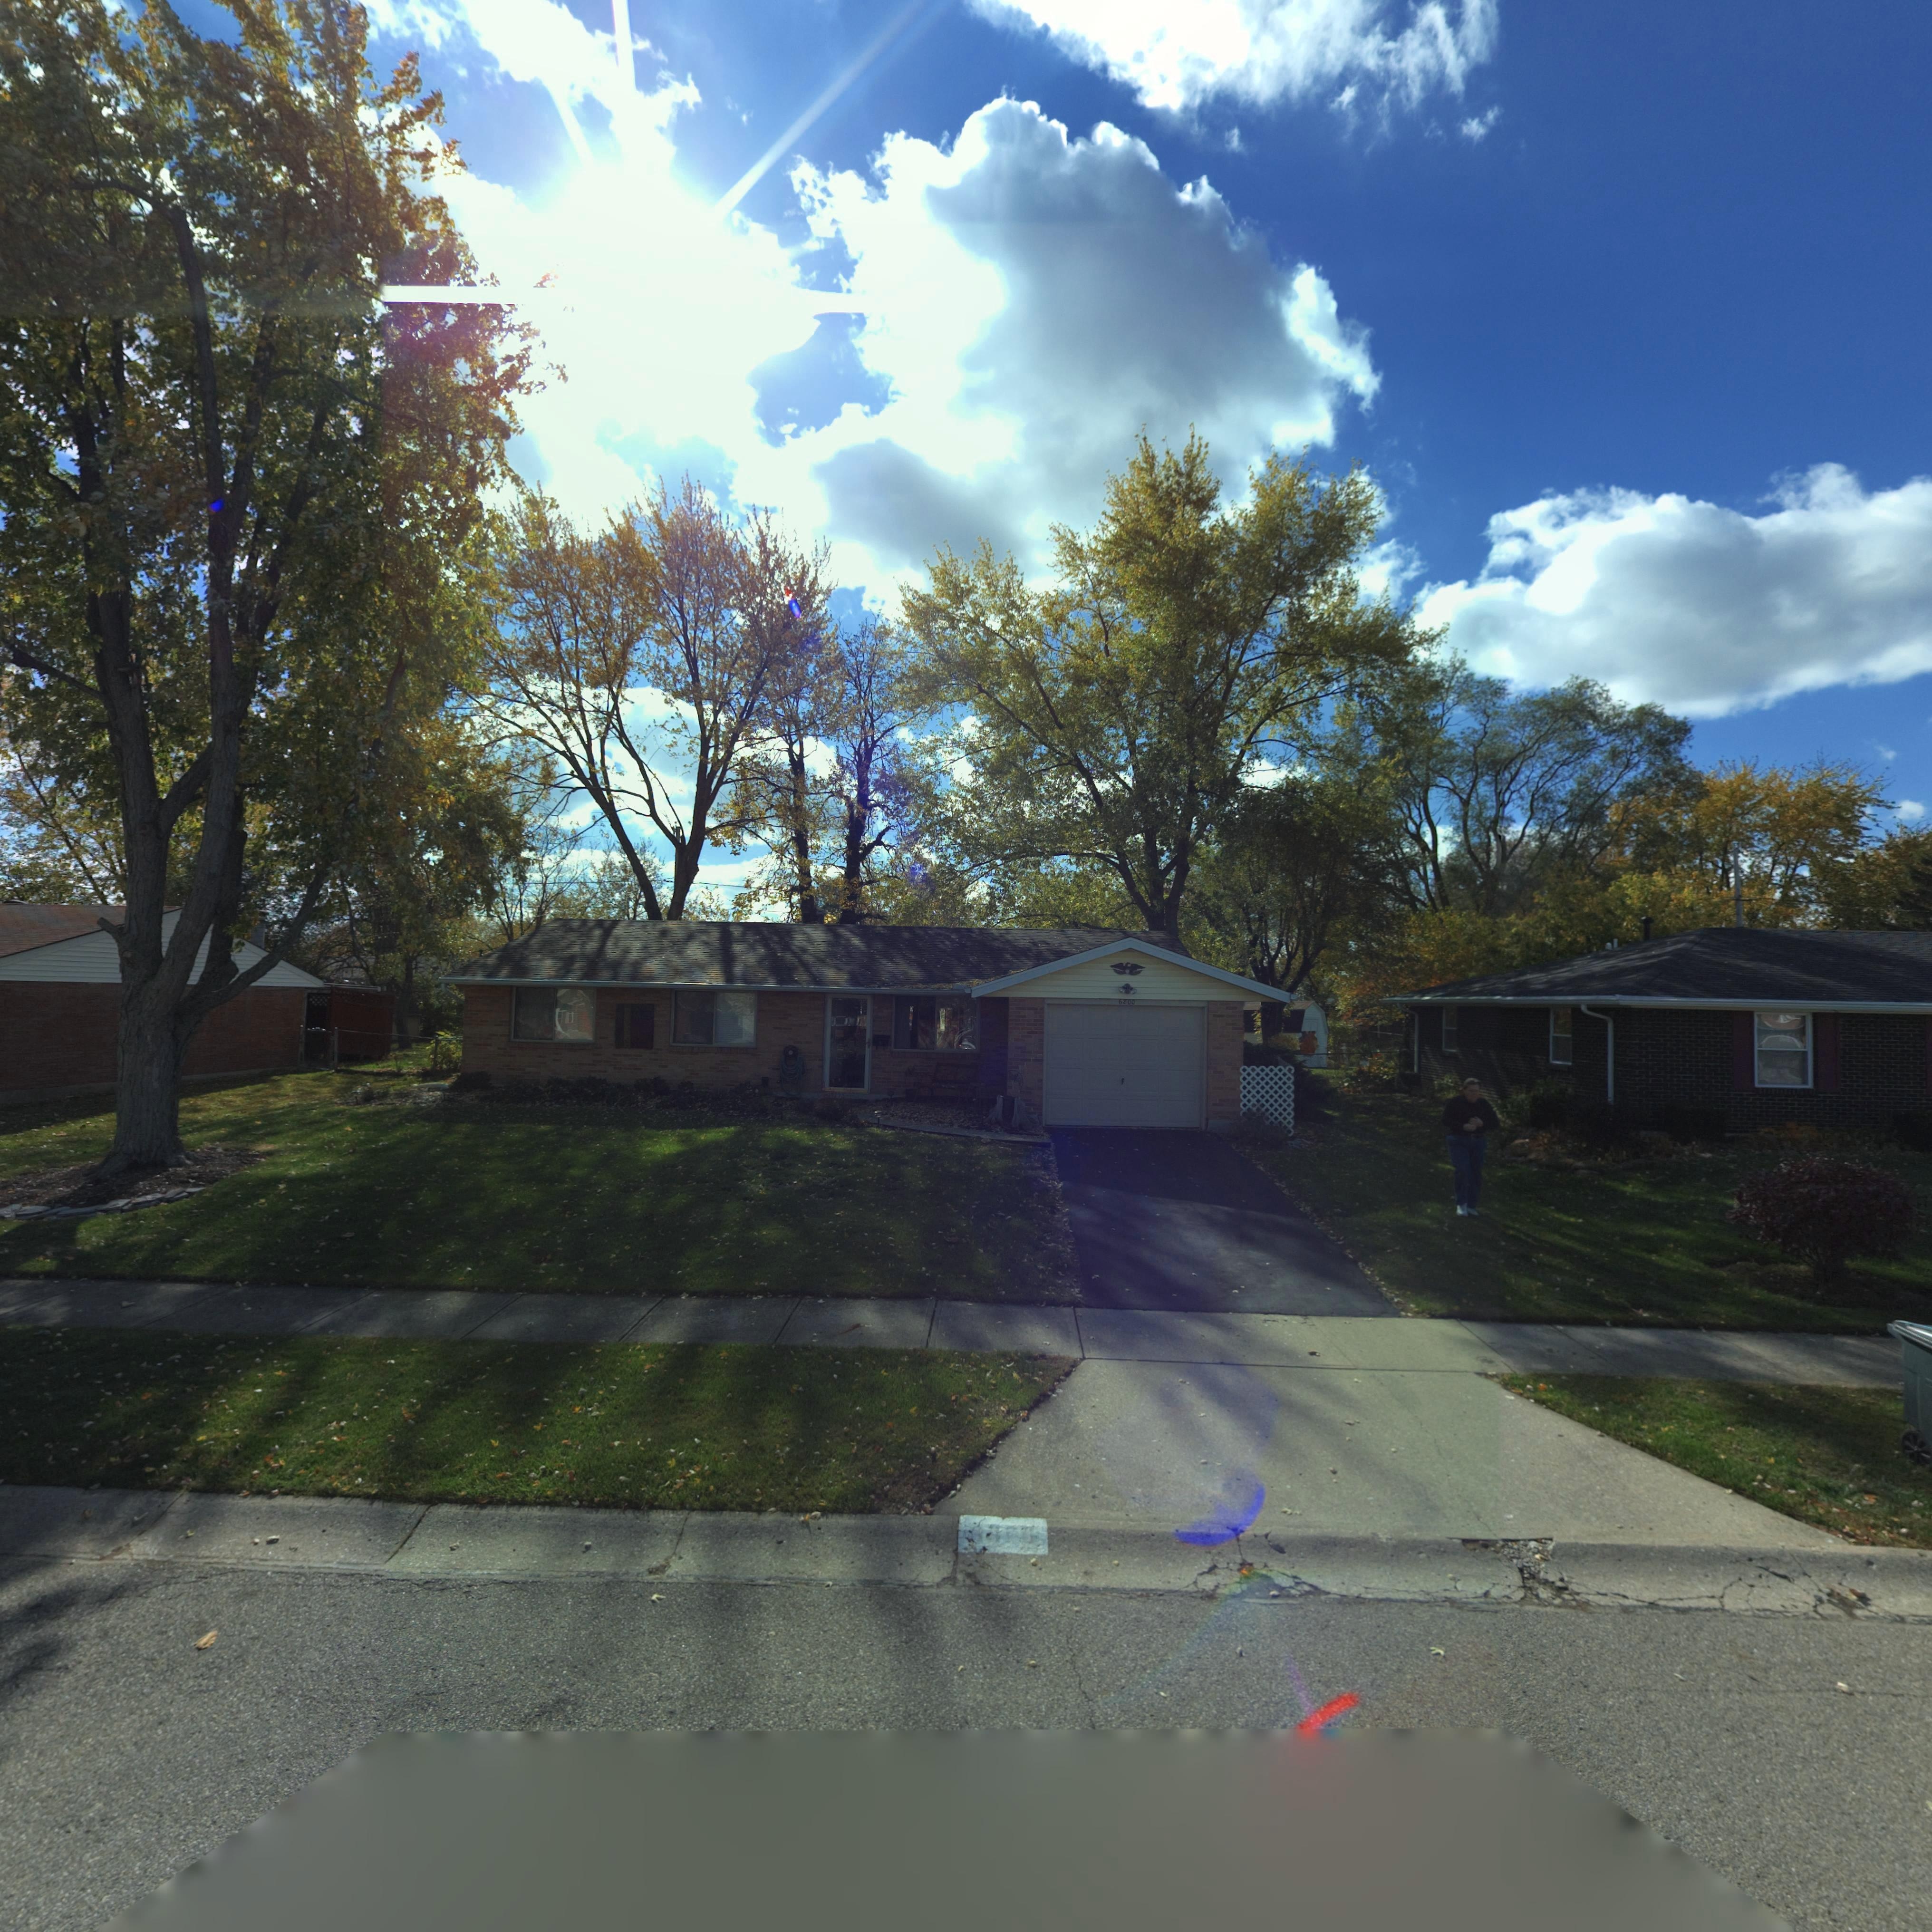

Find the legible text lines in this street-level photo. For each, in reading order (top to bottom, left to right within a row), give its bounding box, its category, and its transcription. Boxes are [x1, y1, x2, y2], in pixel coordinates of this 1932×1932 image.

[1117, 998, 1136, 1005] StreetNumber: 6800
[967, 1521, 1037, 1546] StreetNumber: 6800